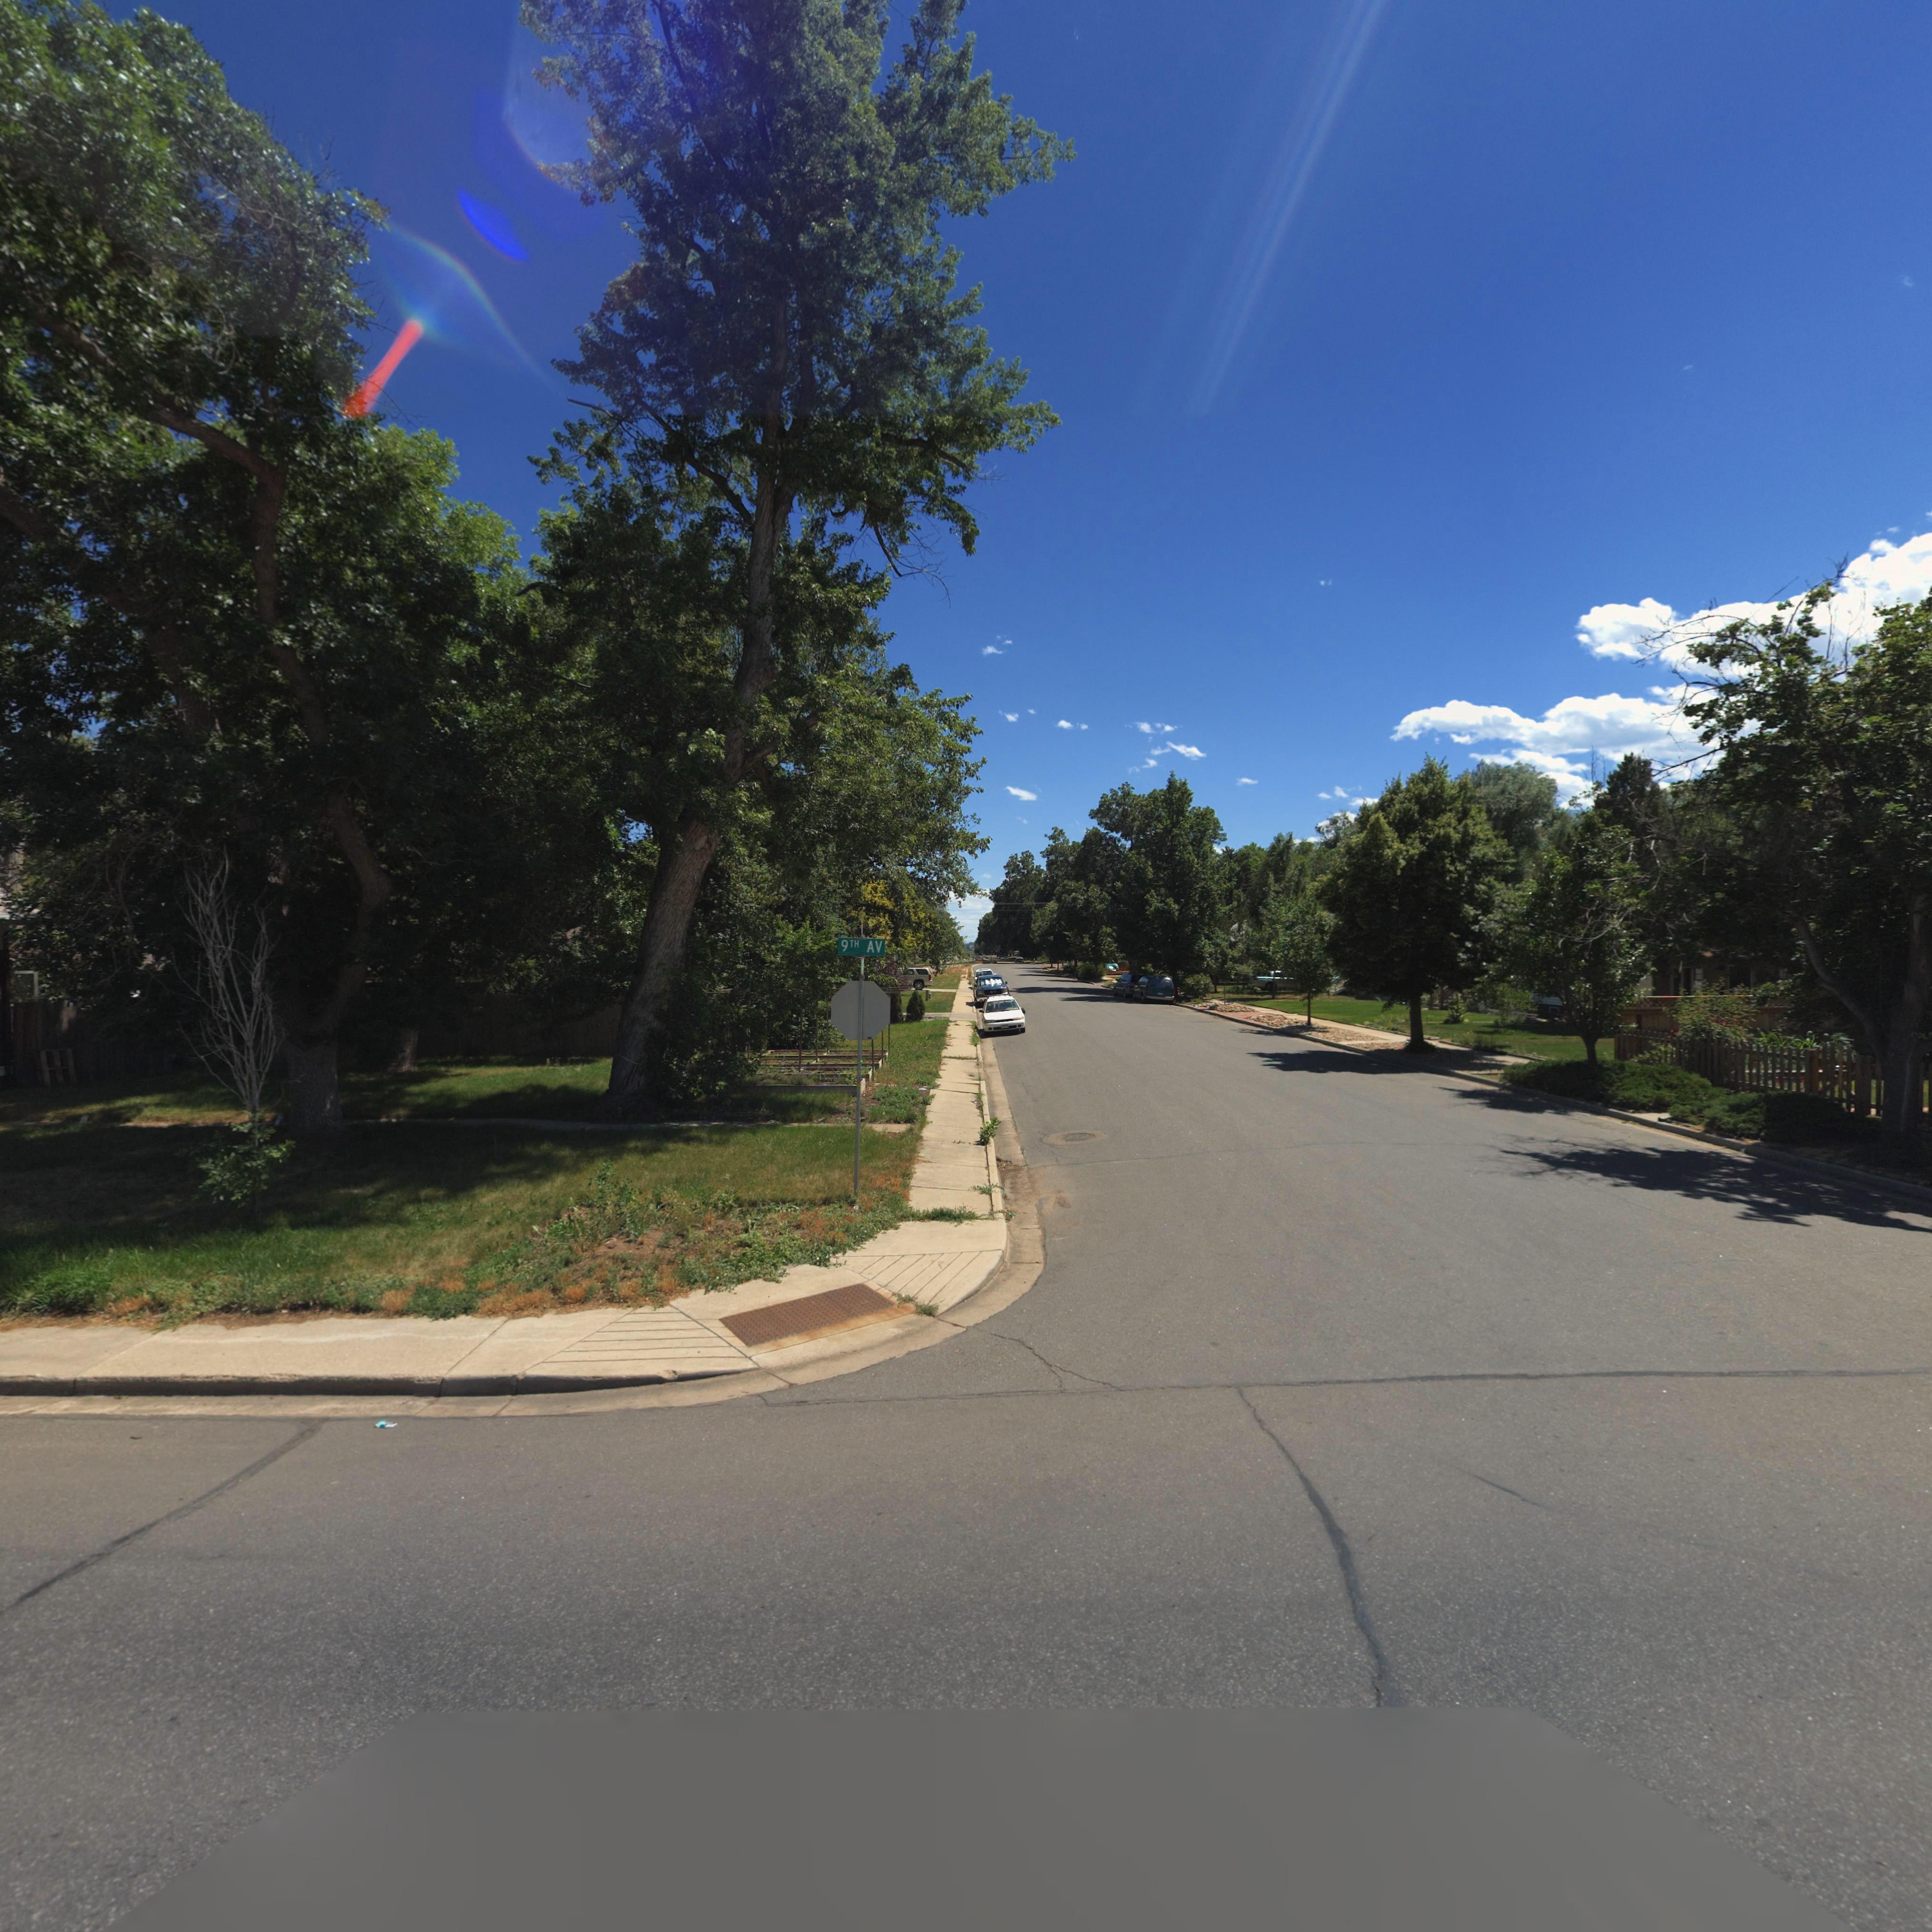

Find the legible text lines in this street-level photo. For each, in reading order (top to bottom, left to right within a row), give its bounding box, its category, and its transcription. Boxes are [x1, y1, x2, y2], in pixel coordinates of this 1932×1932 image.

[840, 939, 883, 953] StreetName: 9TH AV 